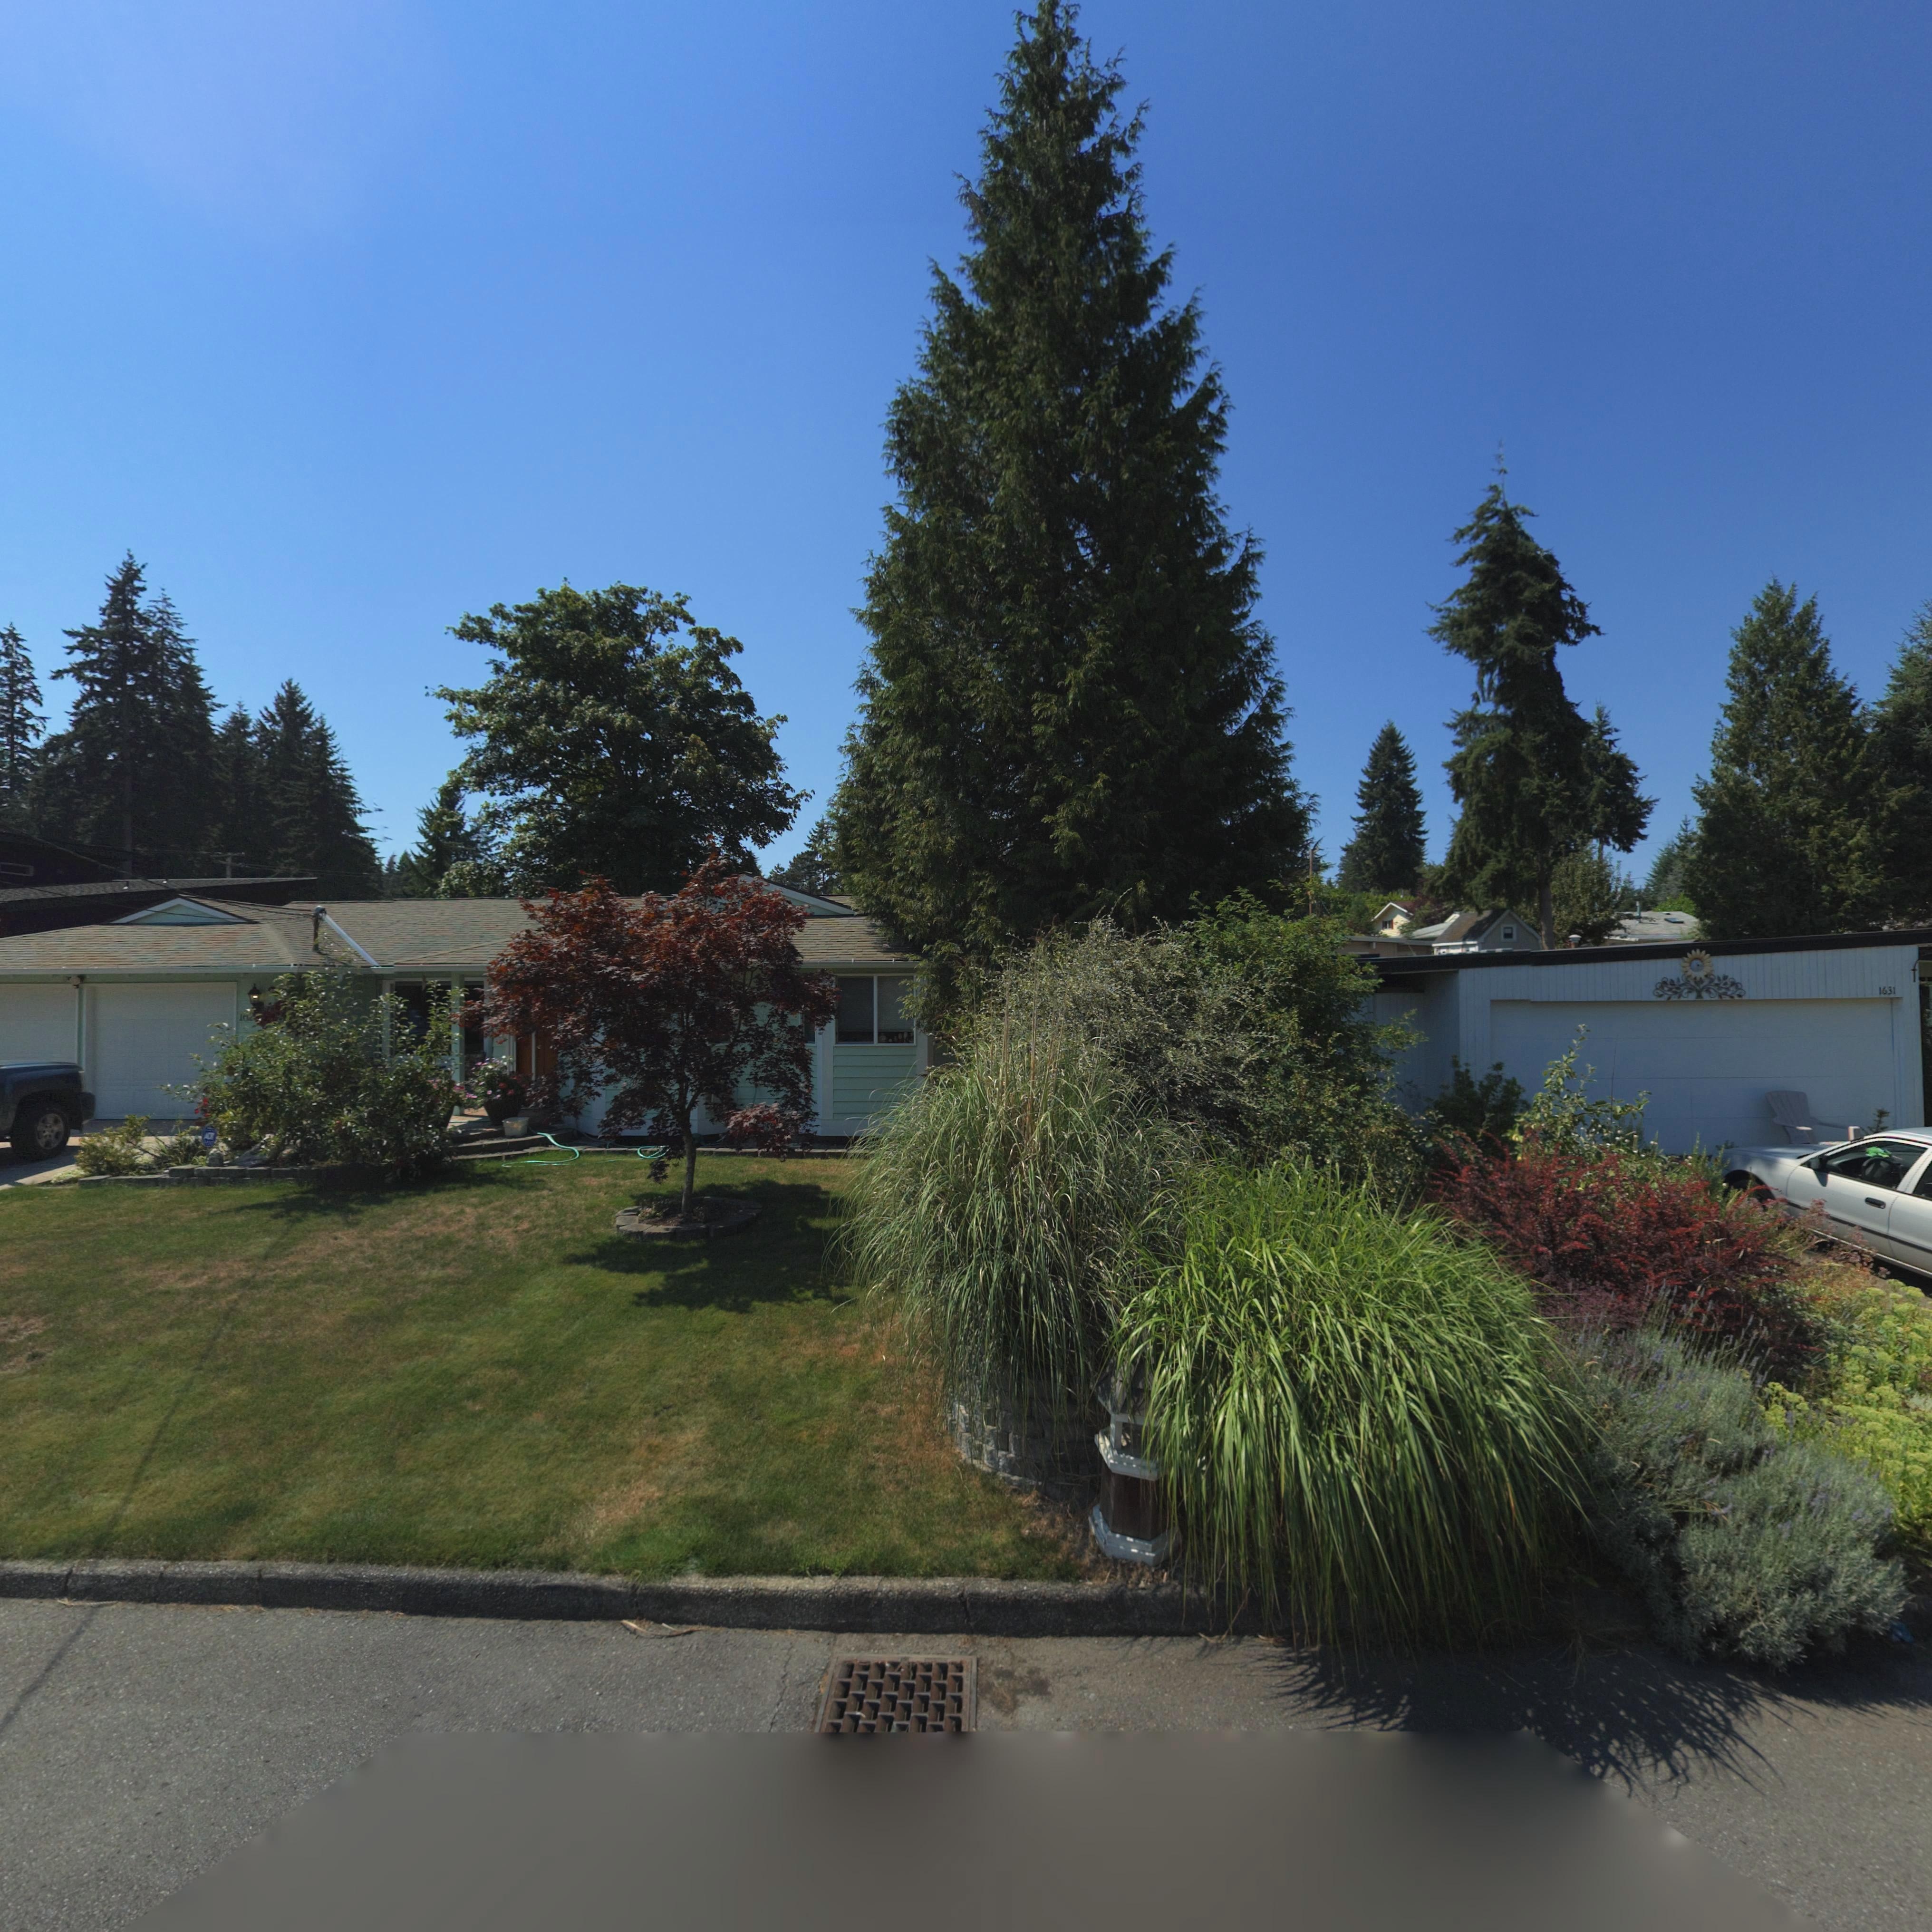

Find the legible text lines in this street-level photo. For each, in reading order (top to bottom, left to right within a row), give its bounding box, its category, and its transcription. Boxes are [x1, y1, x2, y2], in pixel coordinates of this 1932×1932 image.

[1879, 986, 1896, 995] StreetNumber: 1631